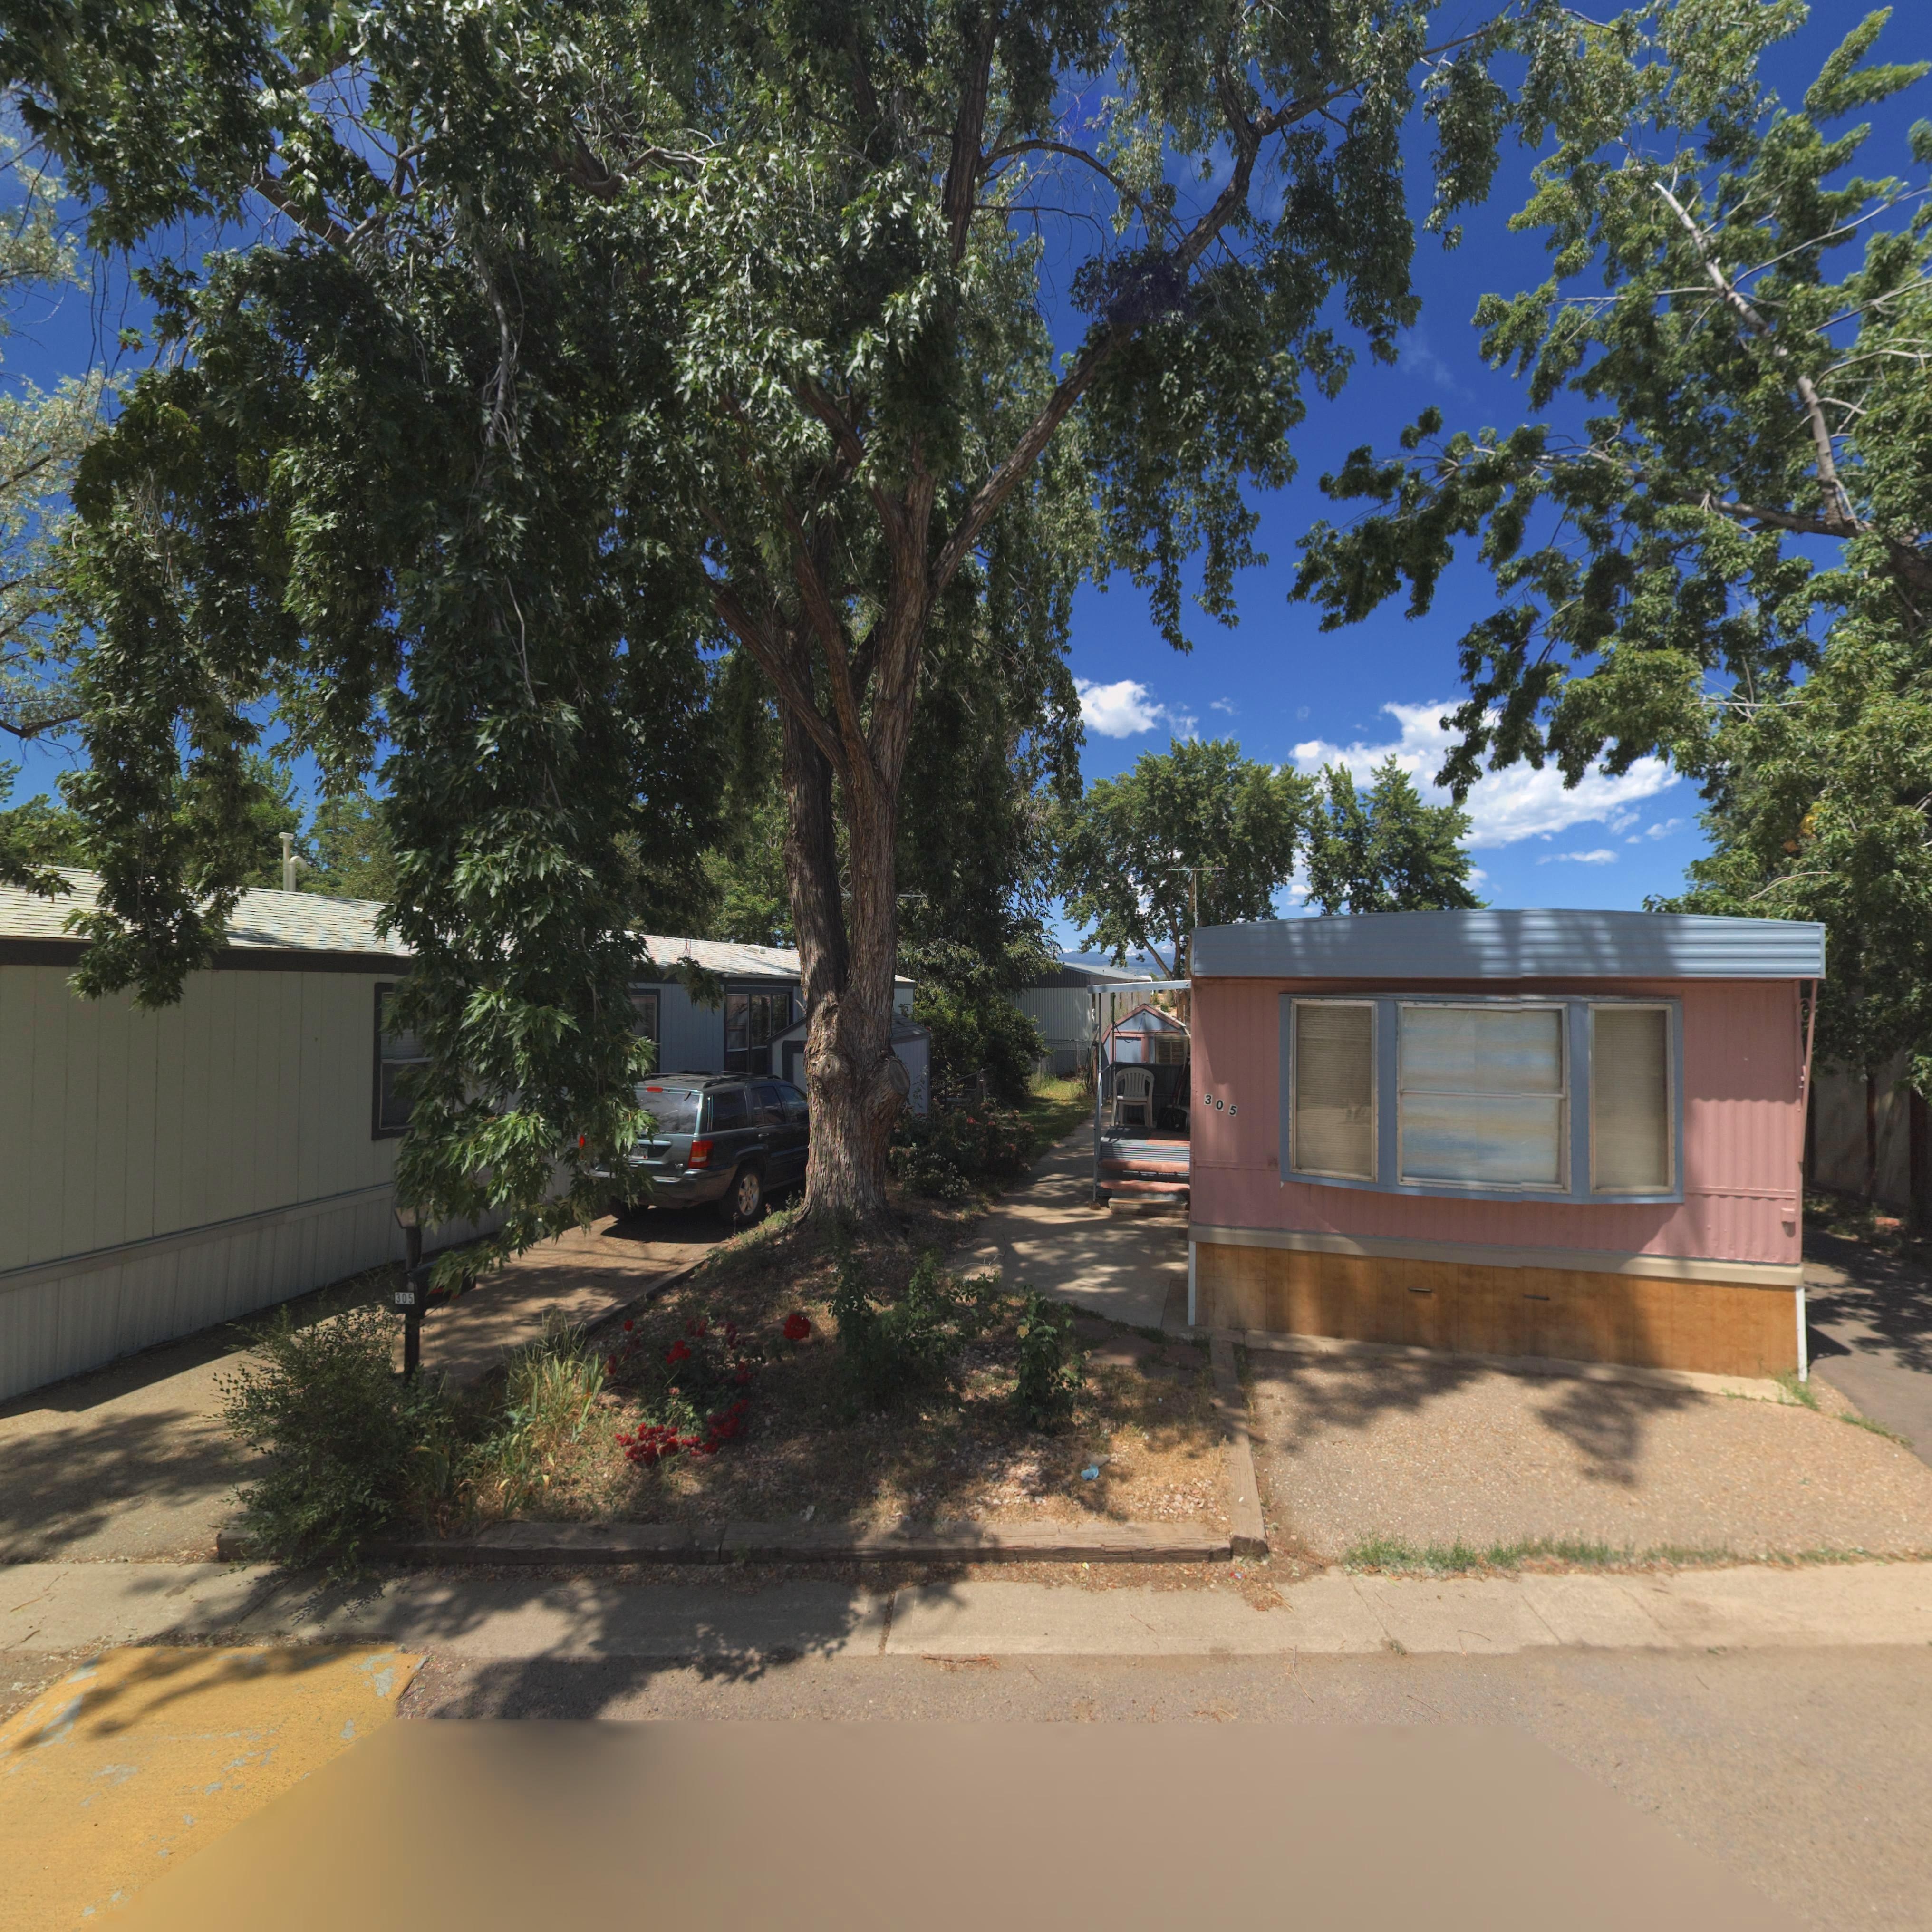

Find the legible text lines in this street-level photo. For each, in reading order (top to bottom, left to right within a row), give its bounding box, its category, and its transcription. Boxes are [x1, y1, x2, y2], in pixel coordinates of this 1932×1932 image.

[1204, 1094, 1237, 1115] StreetNumber: 305
[396, 1293, 413, 1304] StreetNumber: 305